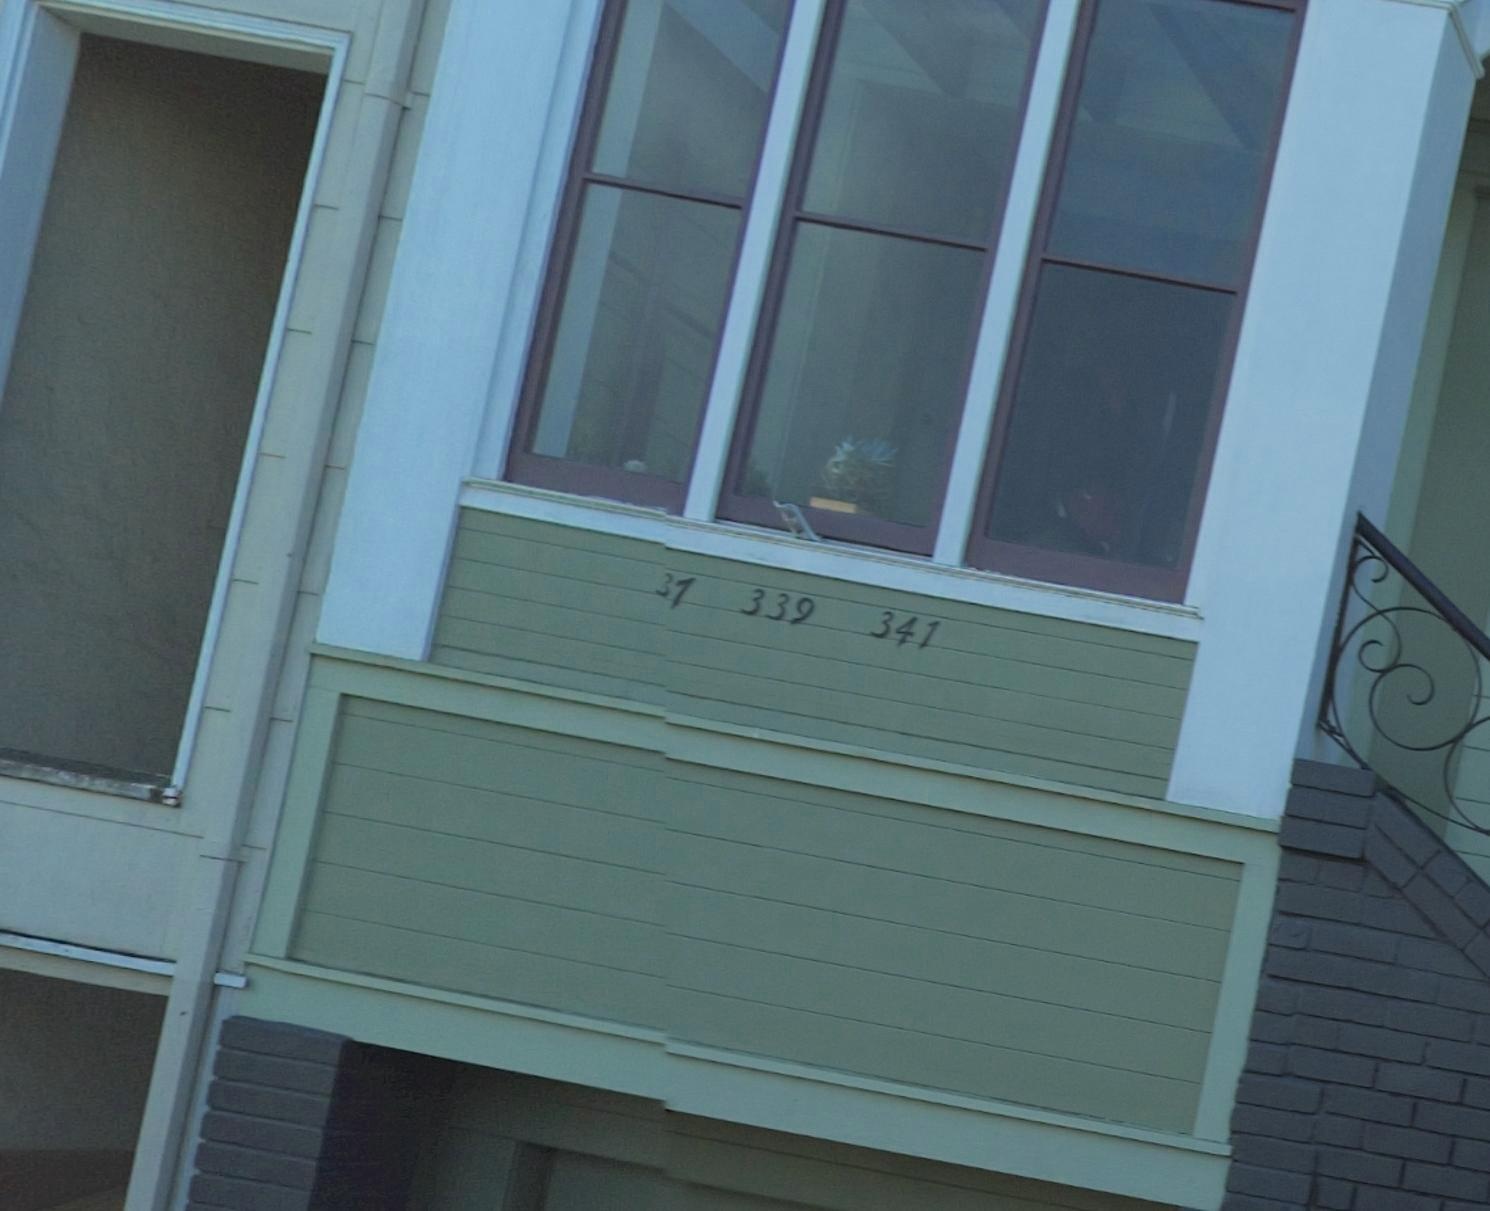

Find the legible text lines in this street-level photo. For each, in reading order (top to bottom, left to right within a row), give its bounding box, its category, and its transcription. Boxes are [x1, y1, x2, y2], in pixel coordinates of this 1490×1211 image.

[651, 570, 699, 616] StreetNumber: 37
[734, 584, 820, 626] StreetNumber: 339
[863, 607, 945, 652] StreetNumber: 341